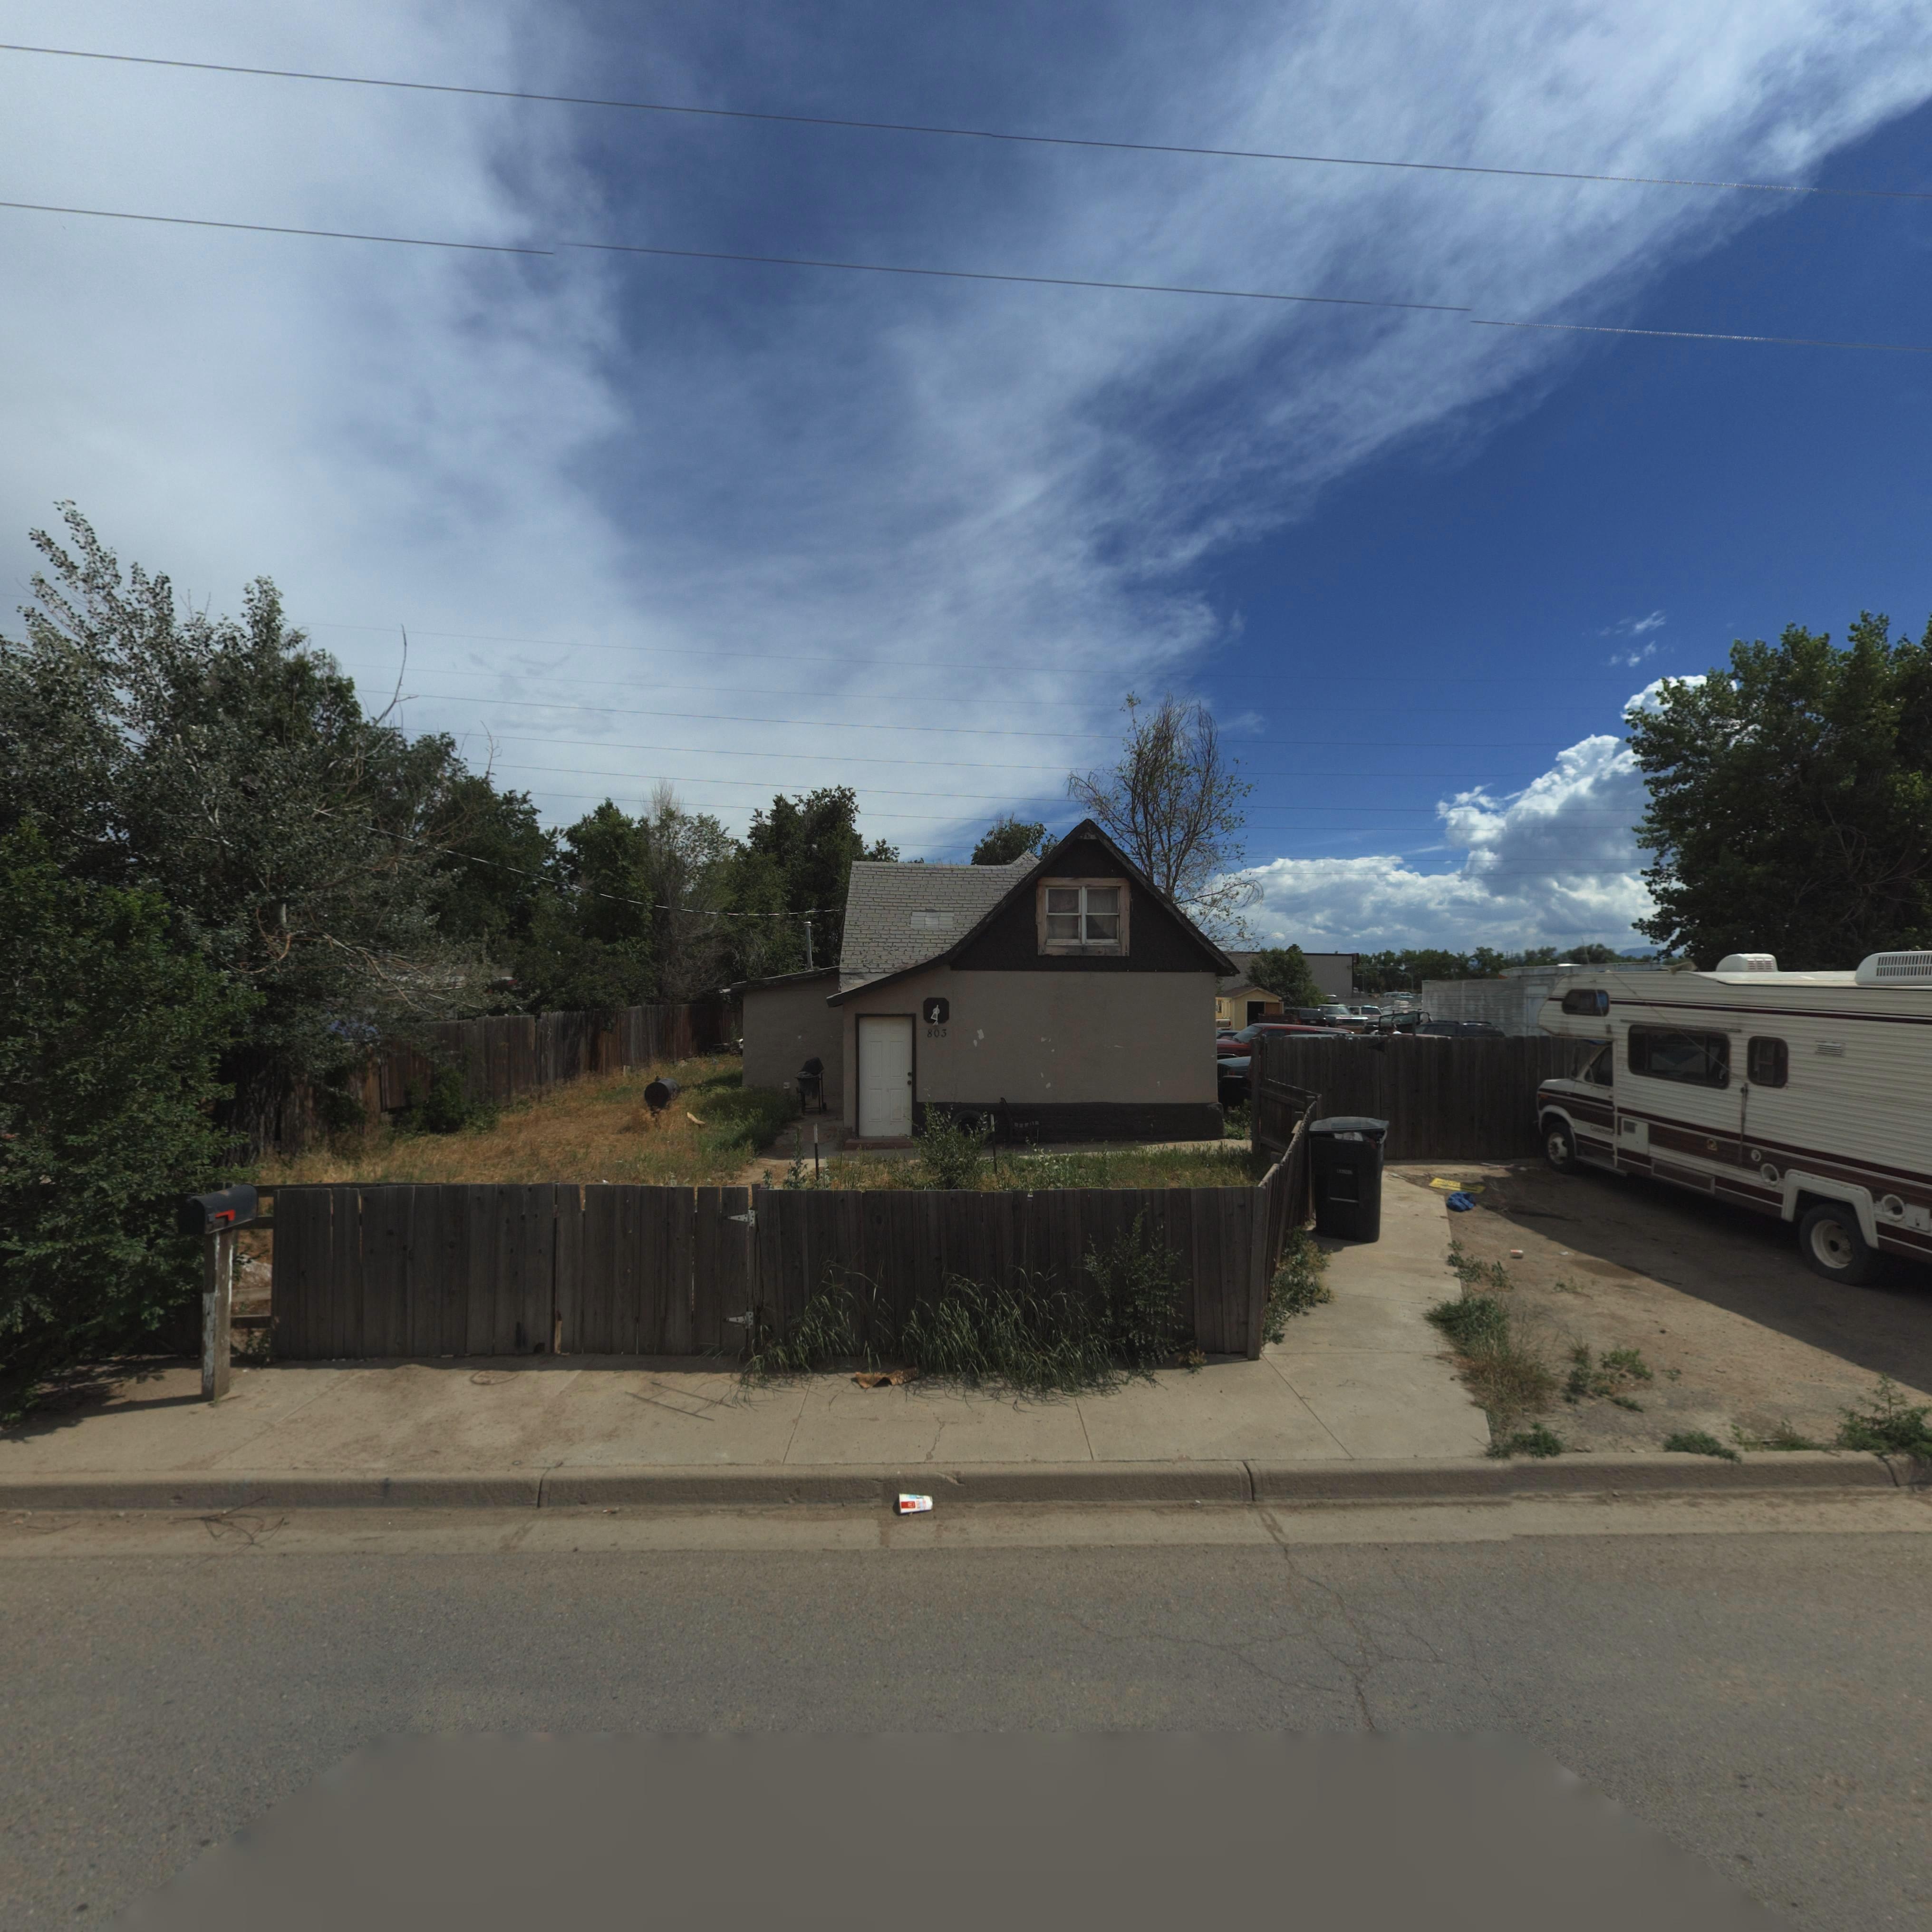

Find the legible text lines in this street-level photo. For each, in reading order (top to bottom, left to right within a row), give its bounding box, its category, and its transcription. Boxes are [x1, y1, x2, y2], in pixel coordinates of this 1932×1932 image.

[926, 1029, 947, 1038] StreetNumber: 803